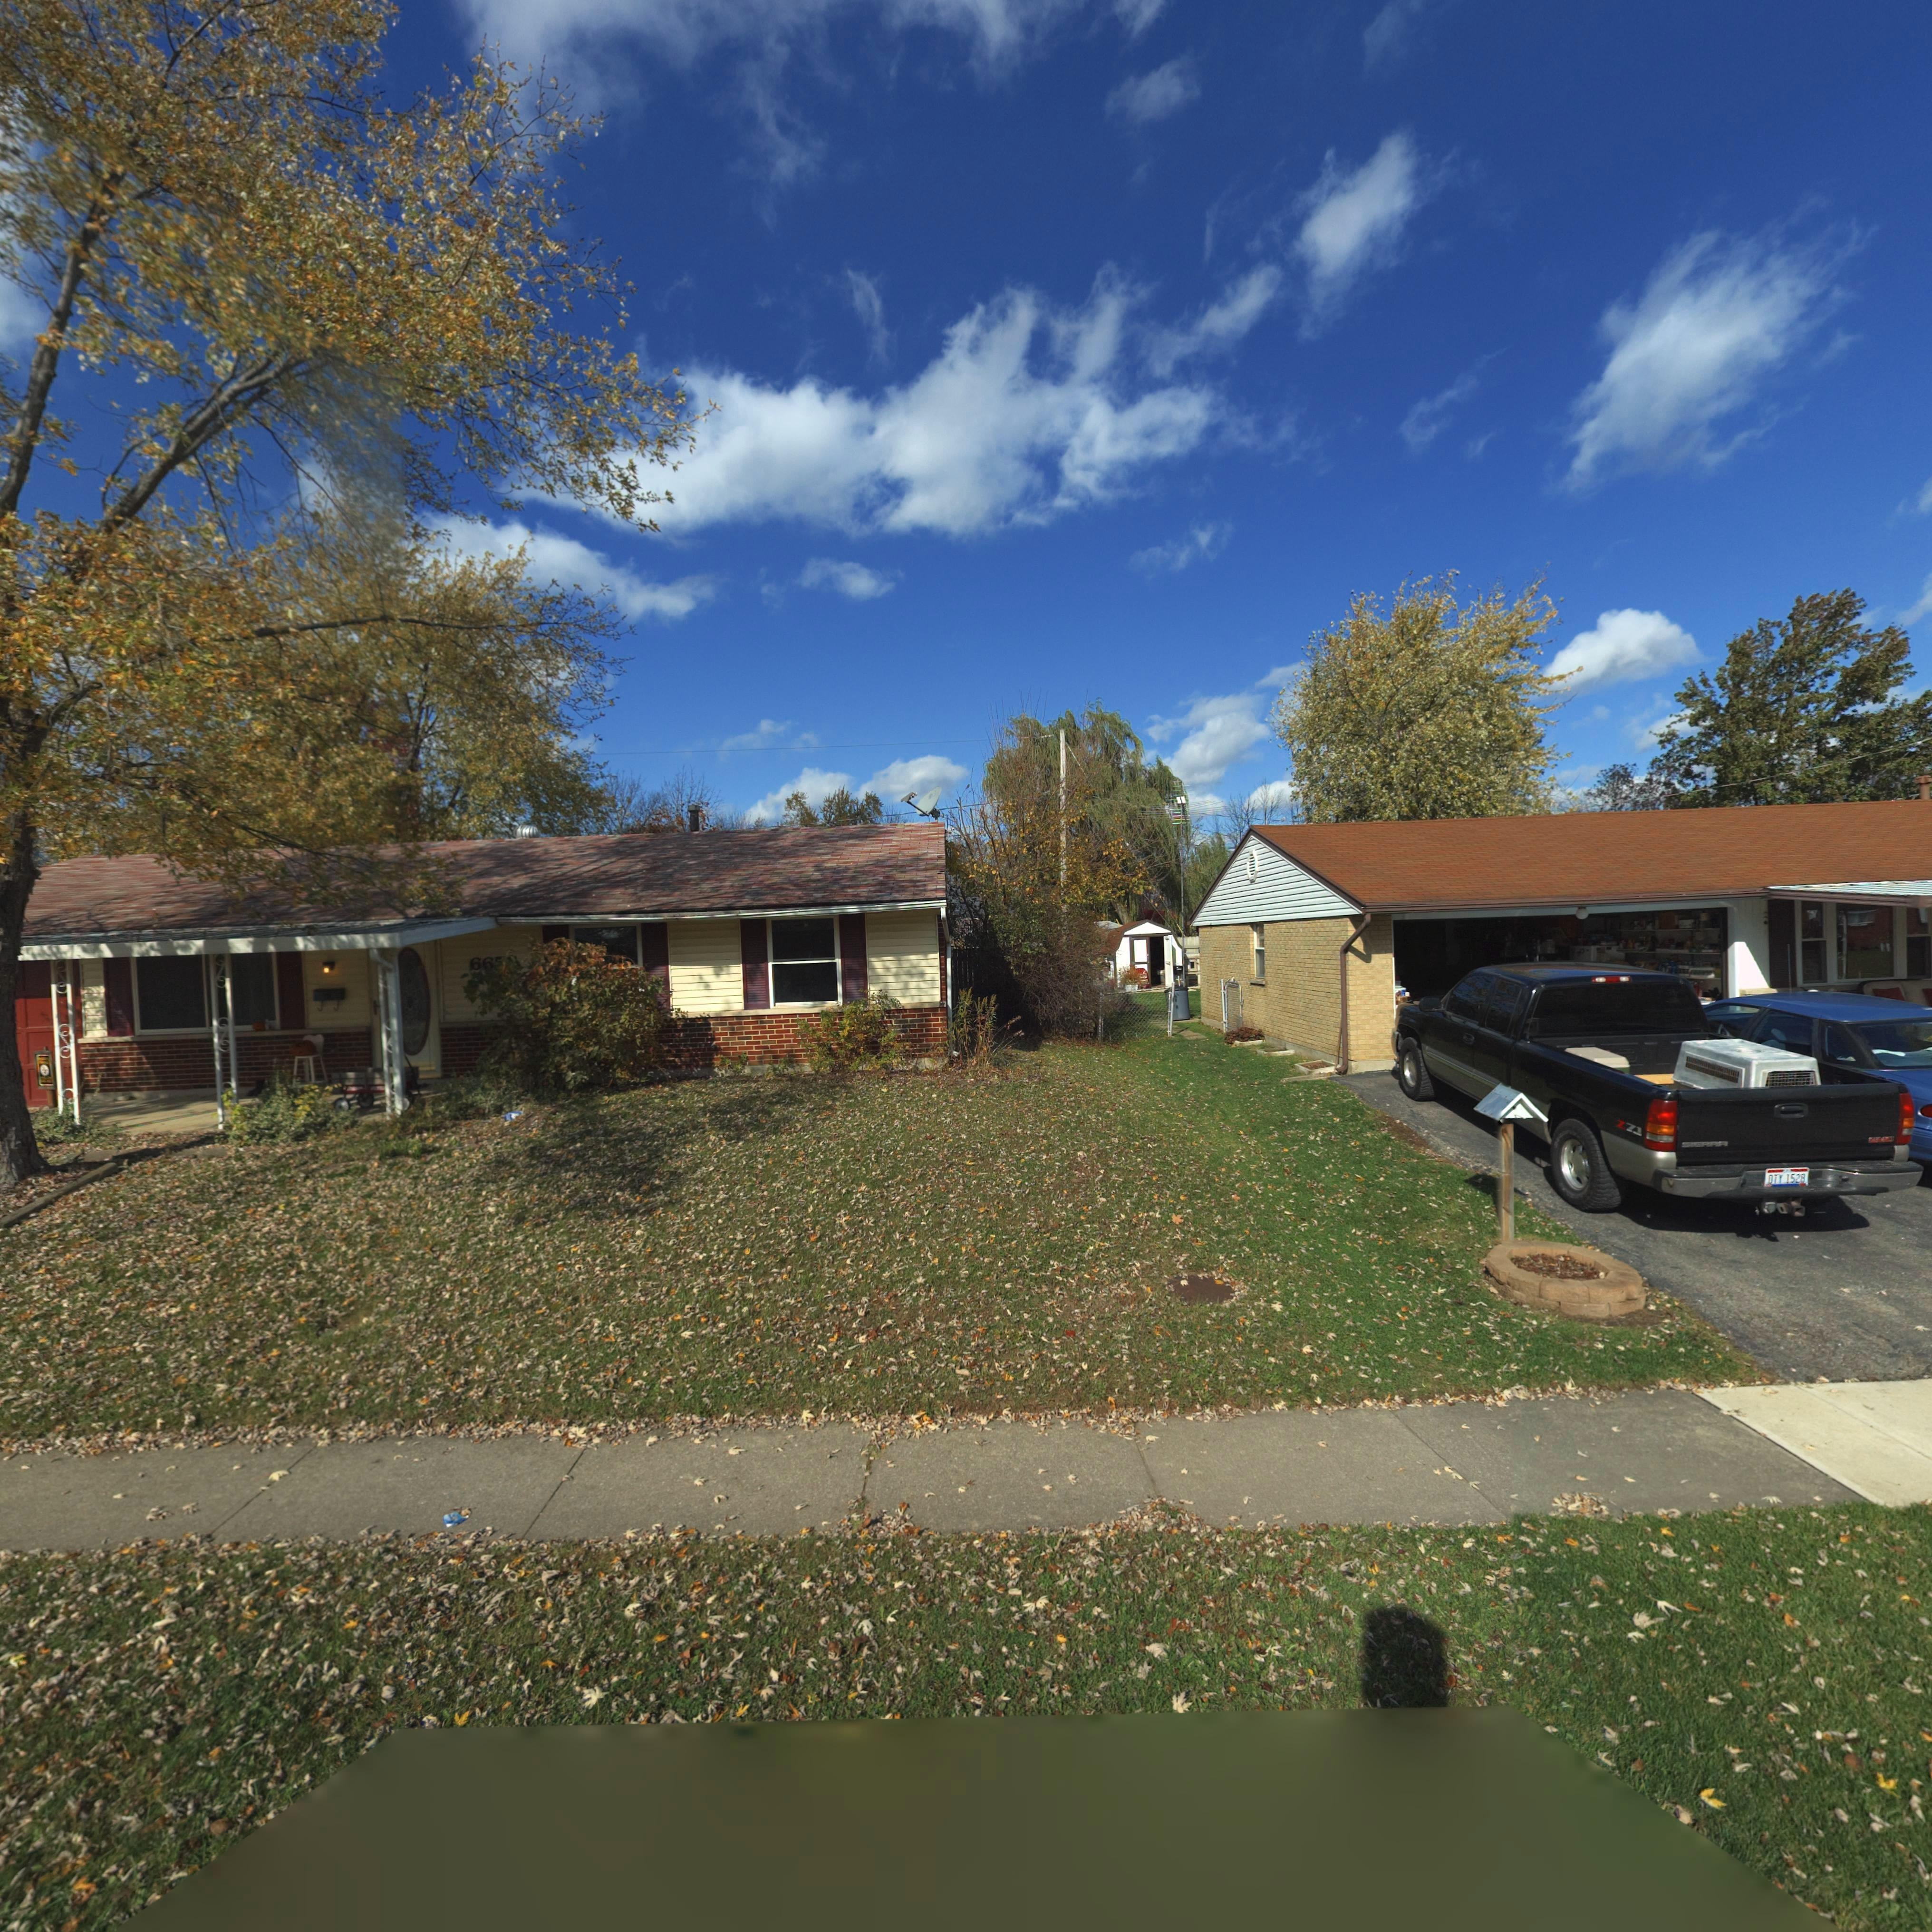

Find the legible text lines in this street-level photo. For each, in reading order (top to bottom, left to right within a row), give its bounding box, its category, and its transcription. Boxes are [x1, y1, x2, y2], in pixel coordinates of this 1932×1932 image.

[470, 956, 494, 971] StreetNumber: 66